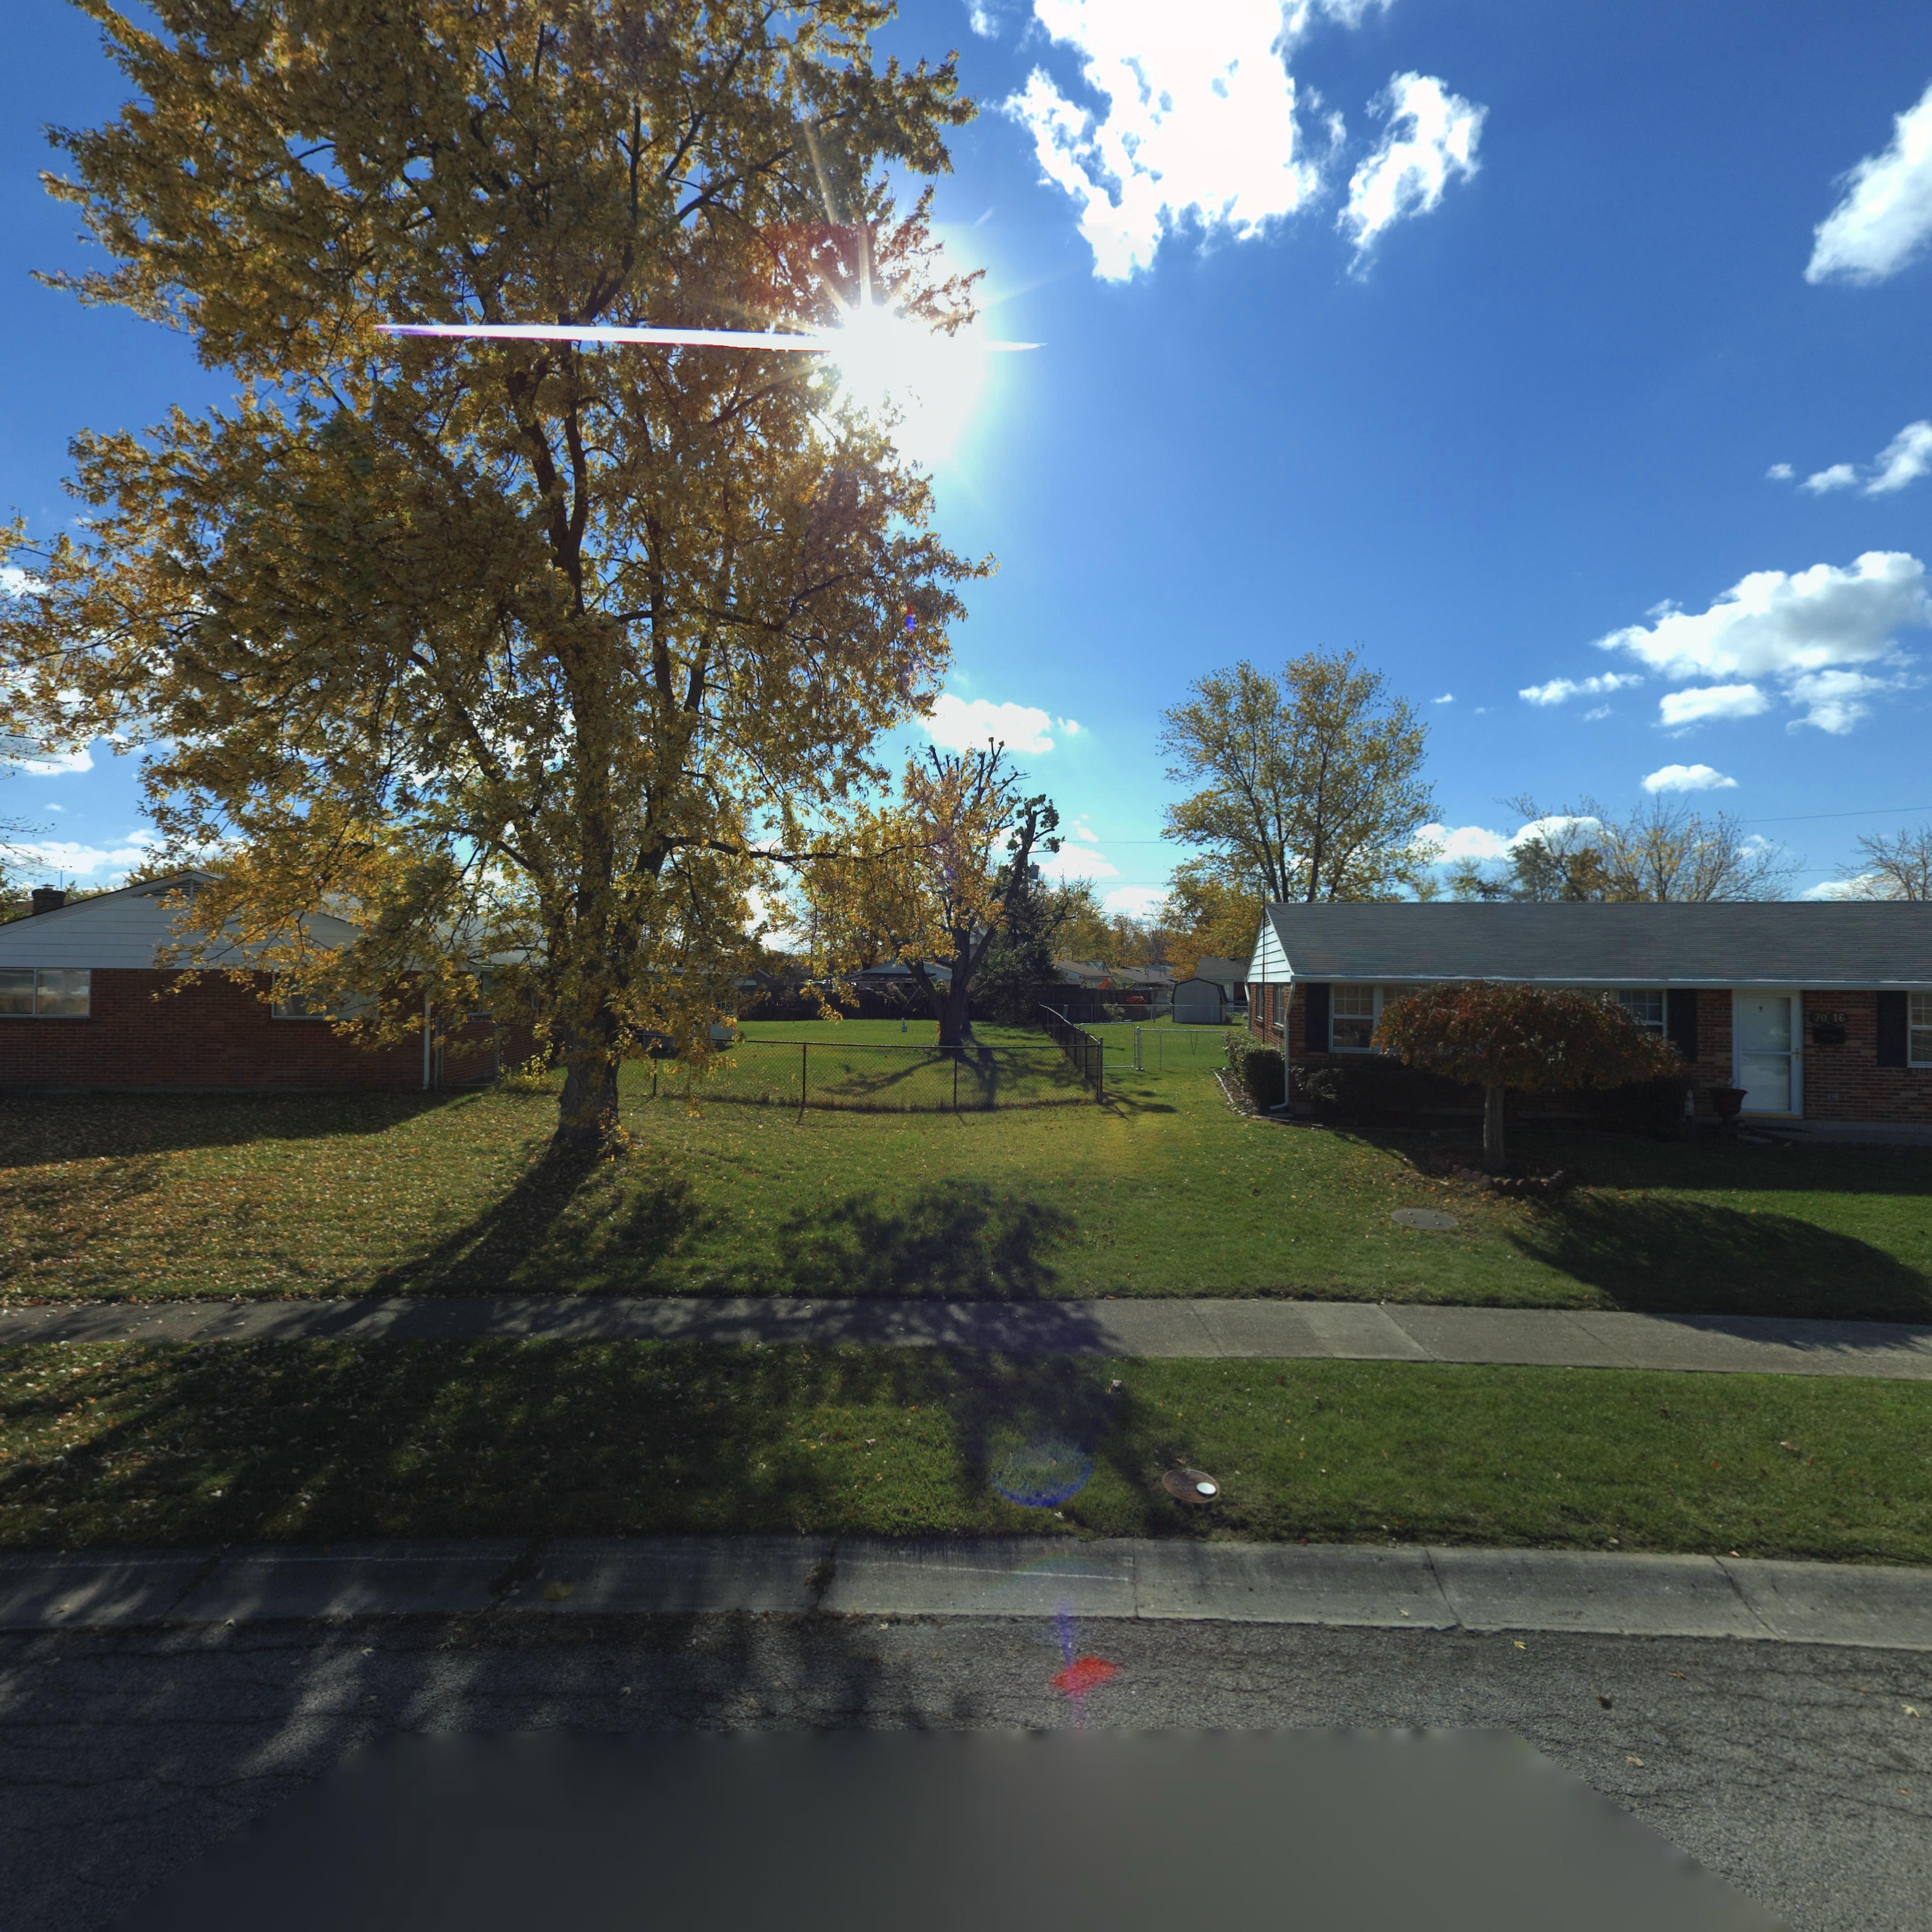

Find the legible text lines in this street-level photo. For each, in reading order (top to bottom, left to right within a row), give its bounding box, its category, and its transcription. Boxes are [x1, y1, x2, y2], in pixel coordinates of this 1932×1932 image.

[1813, 1012, 1847, 1024] StreetNumber: 70*16